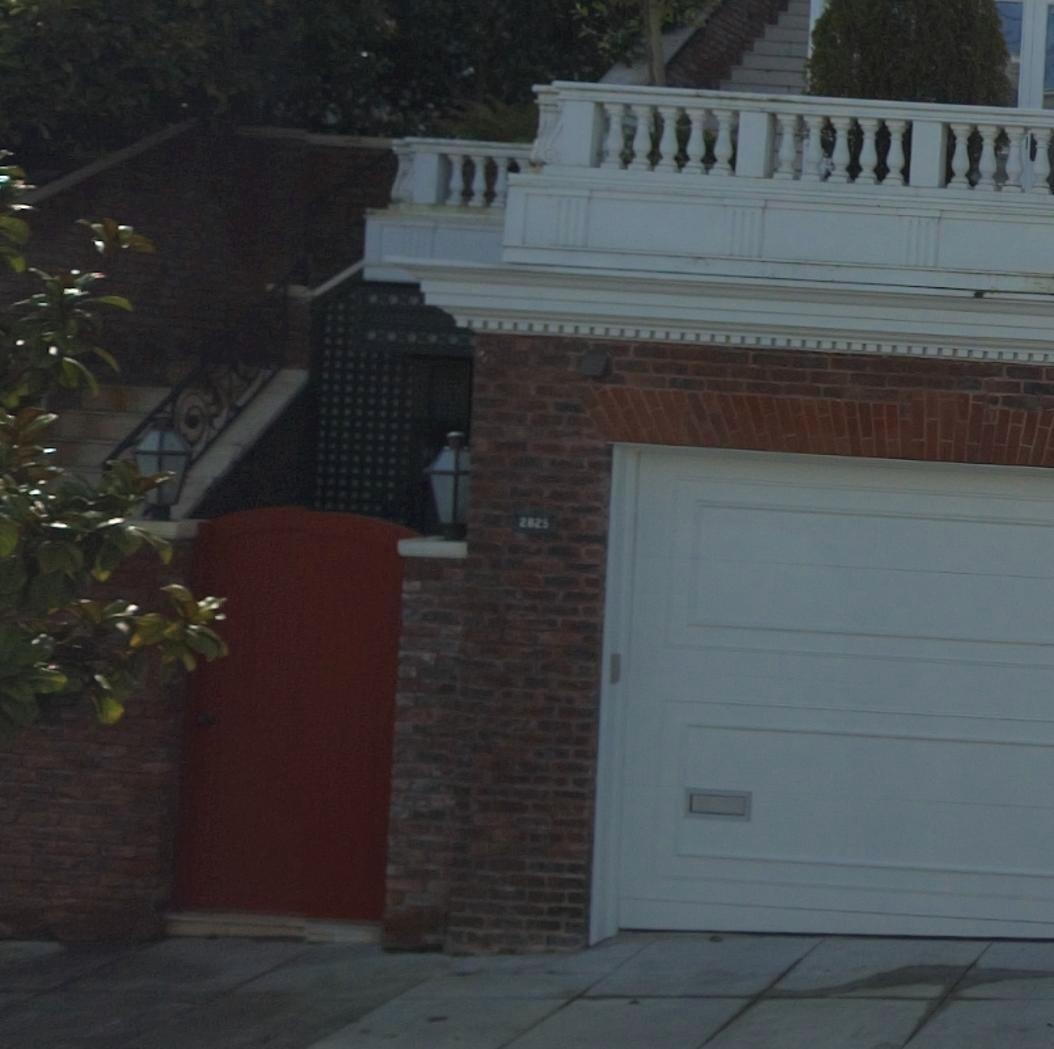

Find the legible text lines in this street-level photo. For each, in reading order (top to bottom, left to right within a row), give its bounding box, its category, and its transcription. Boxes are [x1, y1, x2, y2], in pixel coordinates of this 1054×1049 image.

[516, 514, 551, 532] StreetNumber: 2825